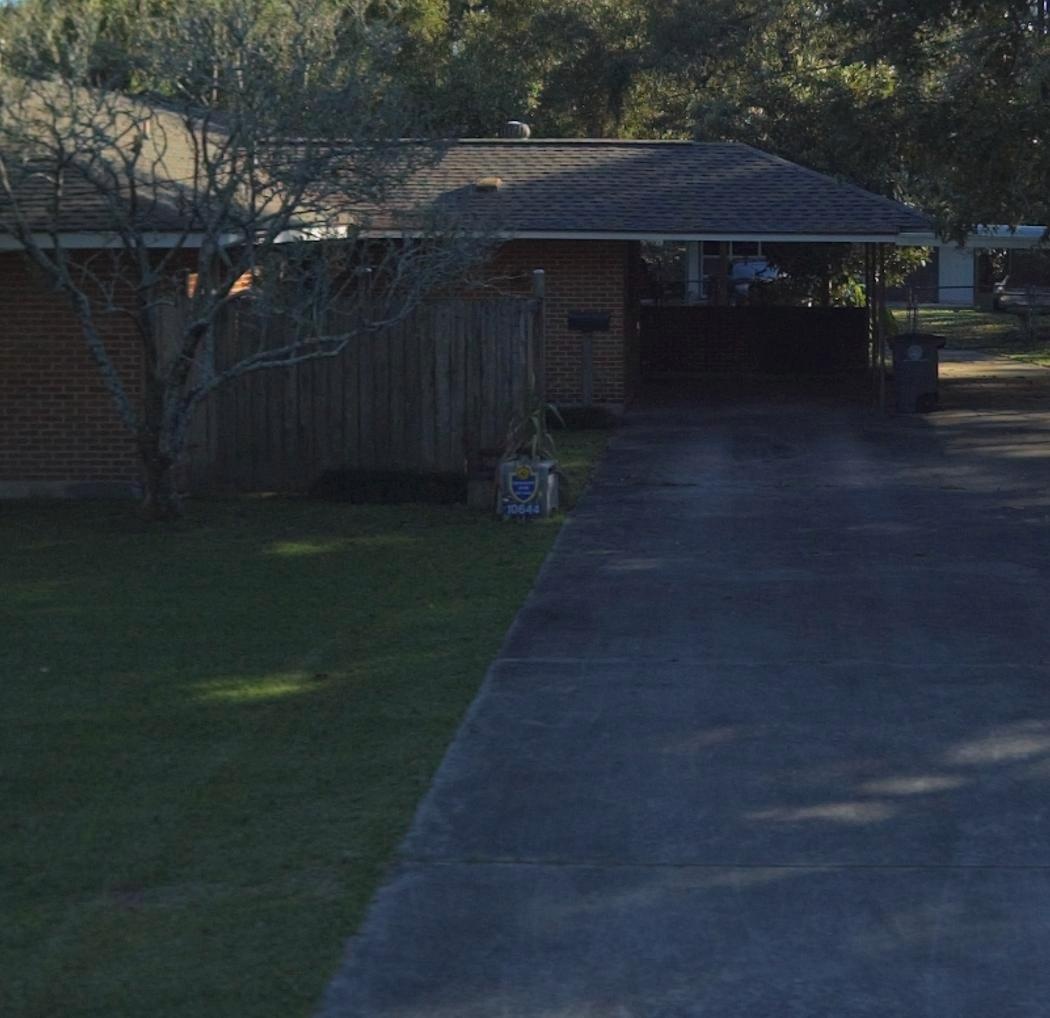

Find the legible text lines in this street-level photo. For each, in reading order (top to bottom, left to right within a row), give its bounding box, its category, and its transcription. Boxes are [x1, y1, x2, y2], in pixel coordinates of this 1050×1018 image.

[506, 503, 541, 516] StreetNumber: 10644